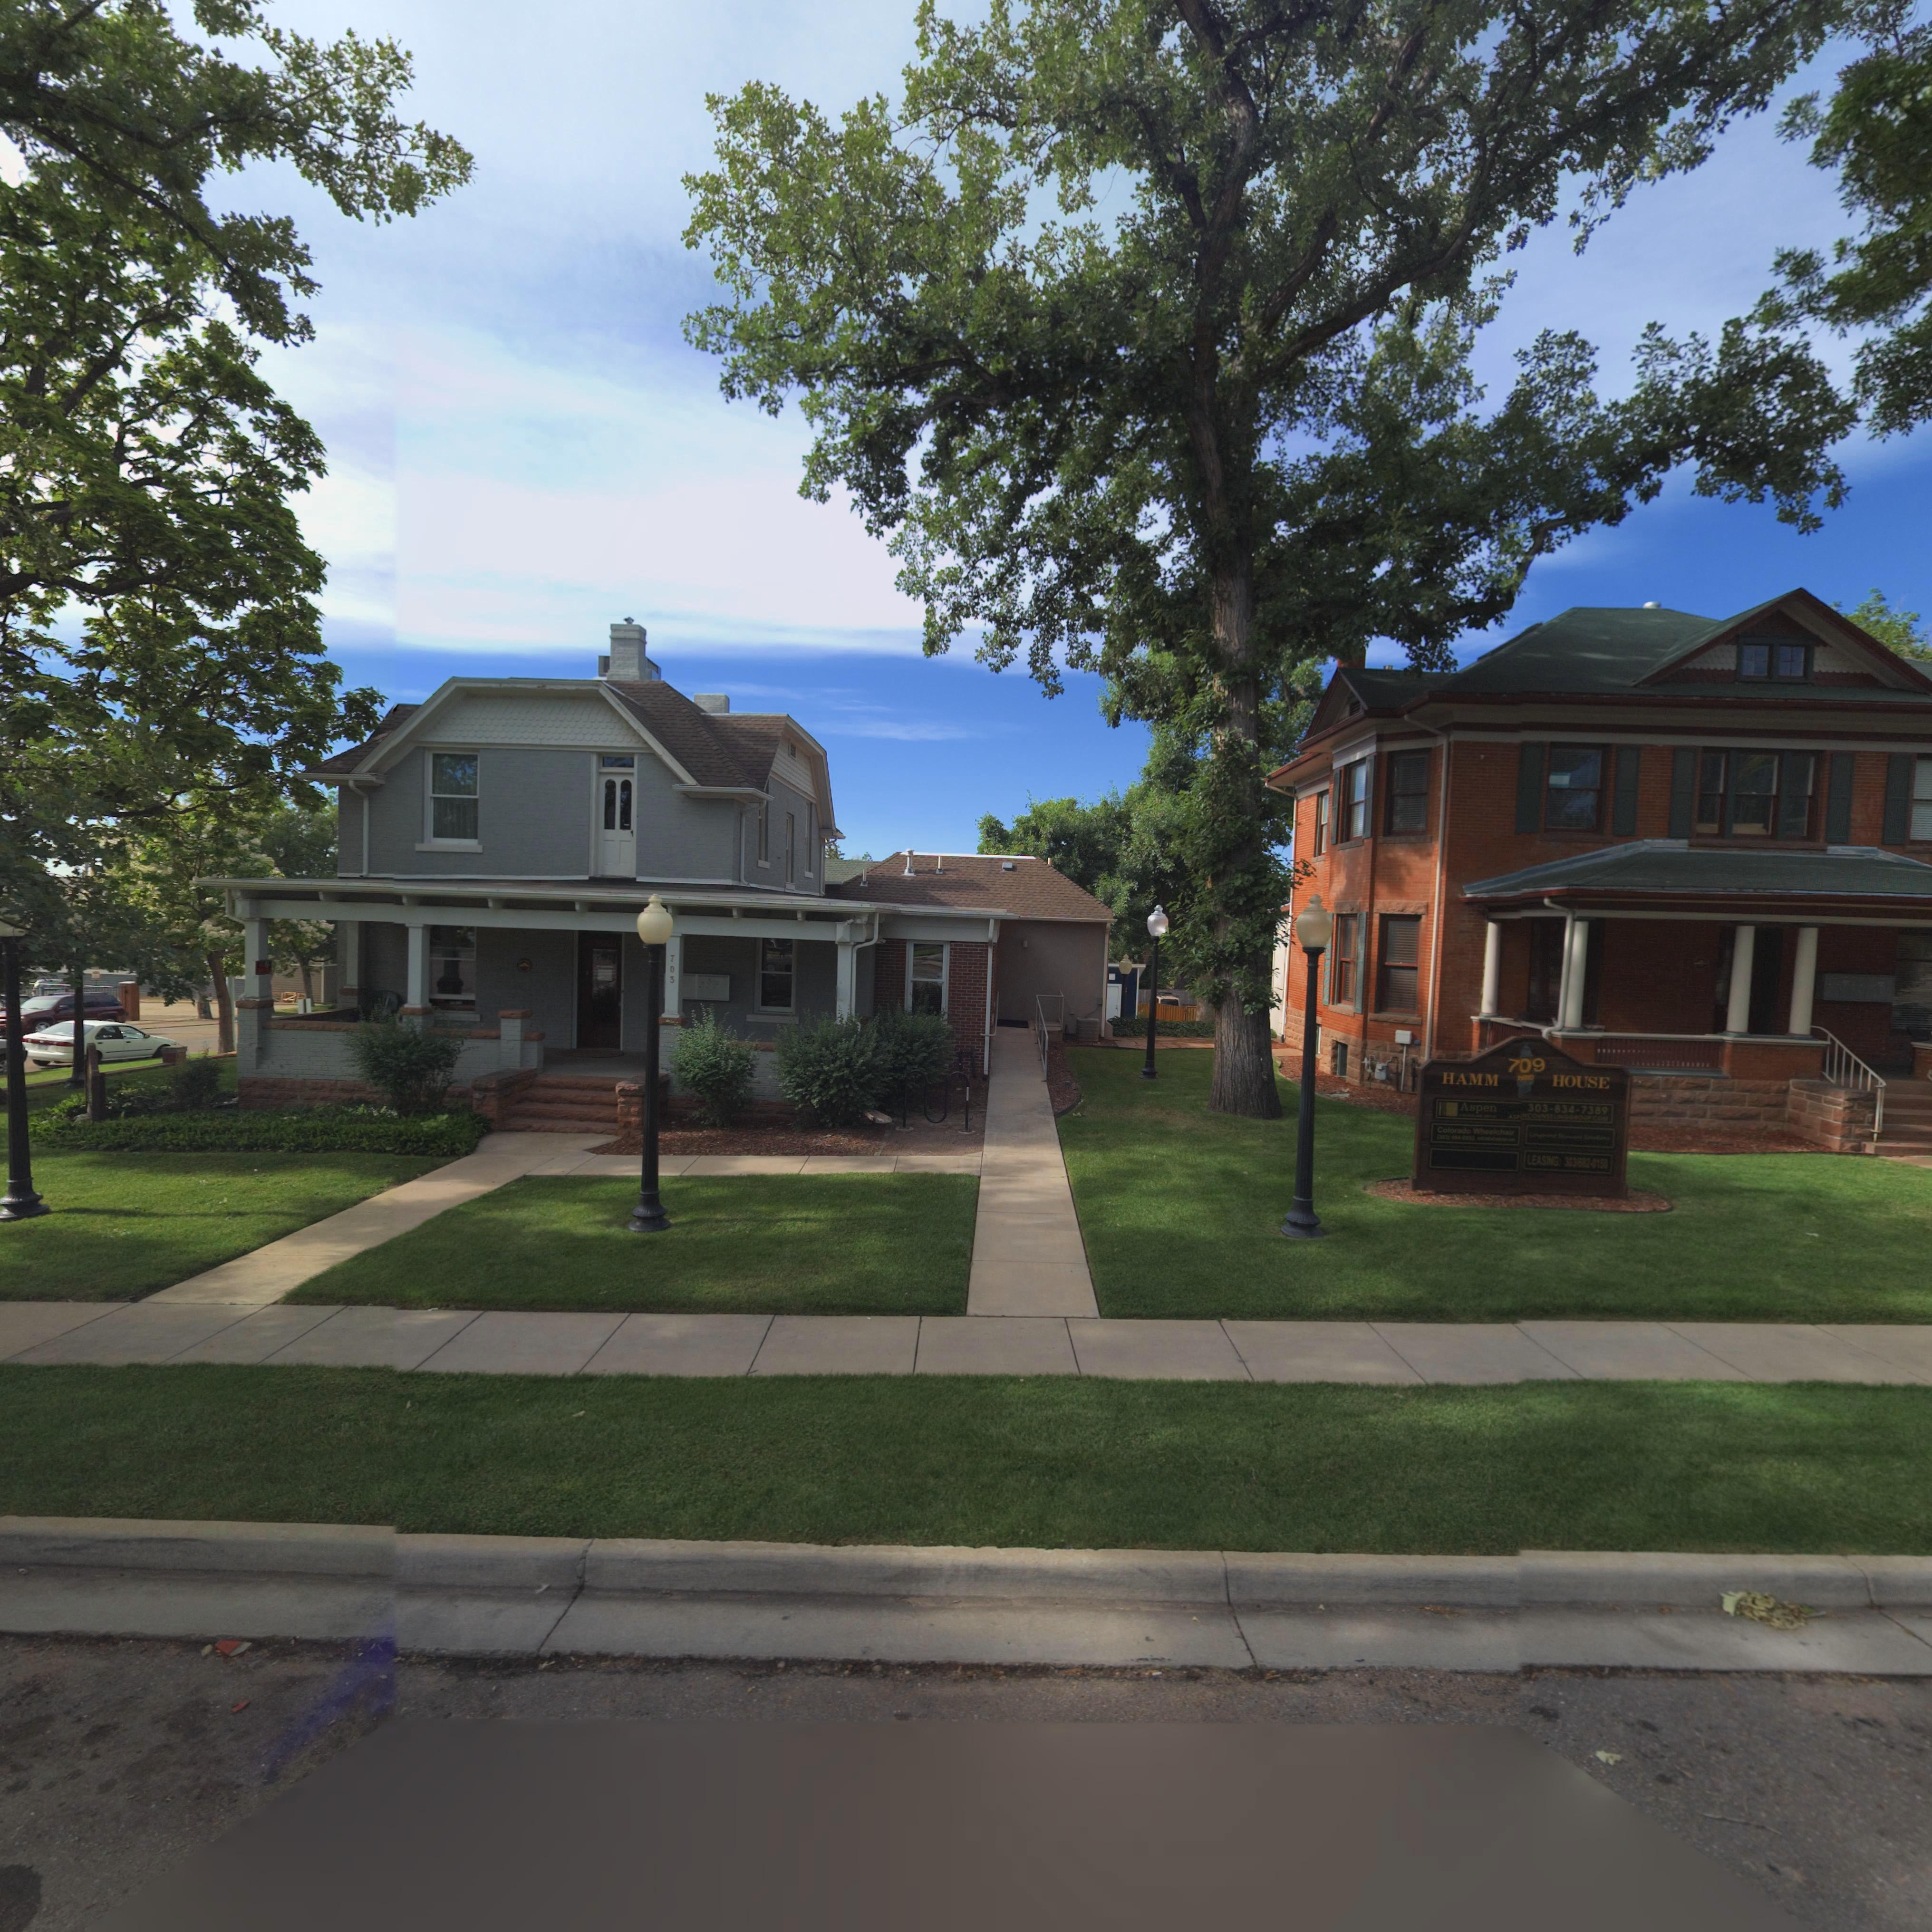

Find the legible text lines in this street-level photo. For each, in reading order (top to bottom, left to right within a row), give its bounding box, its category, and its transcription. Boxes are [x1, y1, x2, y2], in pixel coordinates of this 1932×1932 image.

[669, 954, 675, 984] StreetNumber: 703
[1506, 1055, 1546, 1073] StreetNumber: 709
[1441, 1072, 1499, 1087] BusinessName: Hamm
[1551, 1073, 1611, 1089] BusinessName: House
[1459, 1101, 1497, 1114] BusinessName: Aspen
[1436, 1125, 1515, 1136] BusinessName: Colorado Wheelchair
[1528, 1130, 1611, 1141] BusinessName: Longmont Skincare Solutions